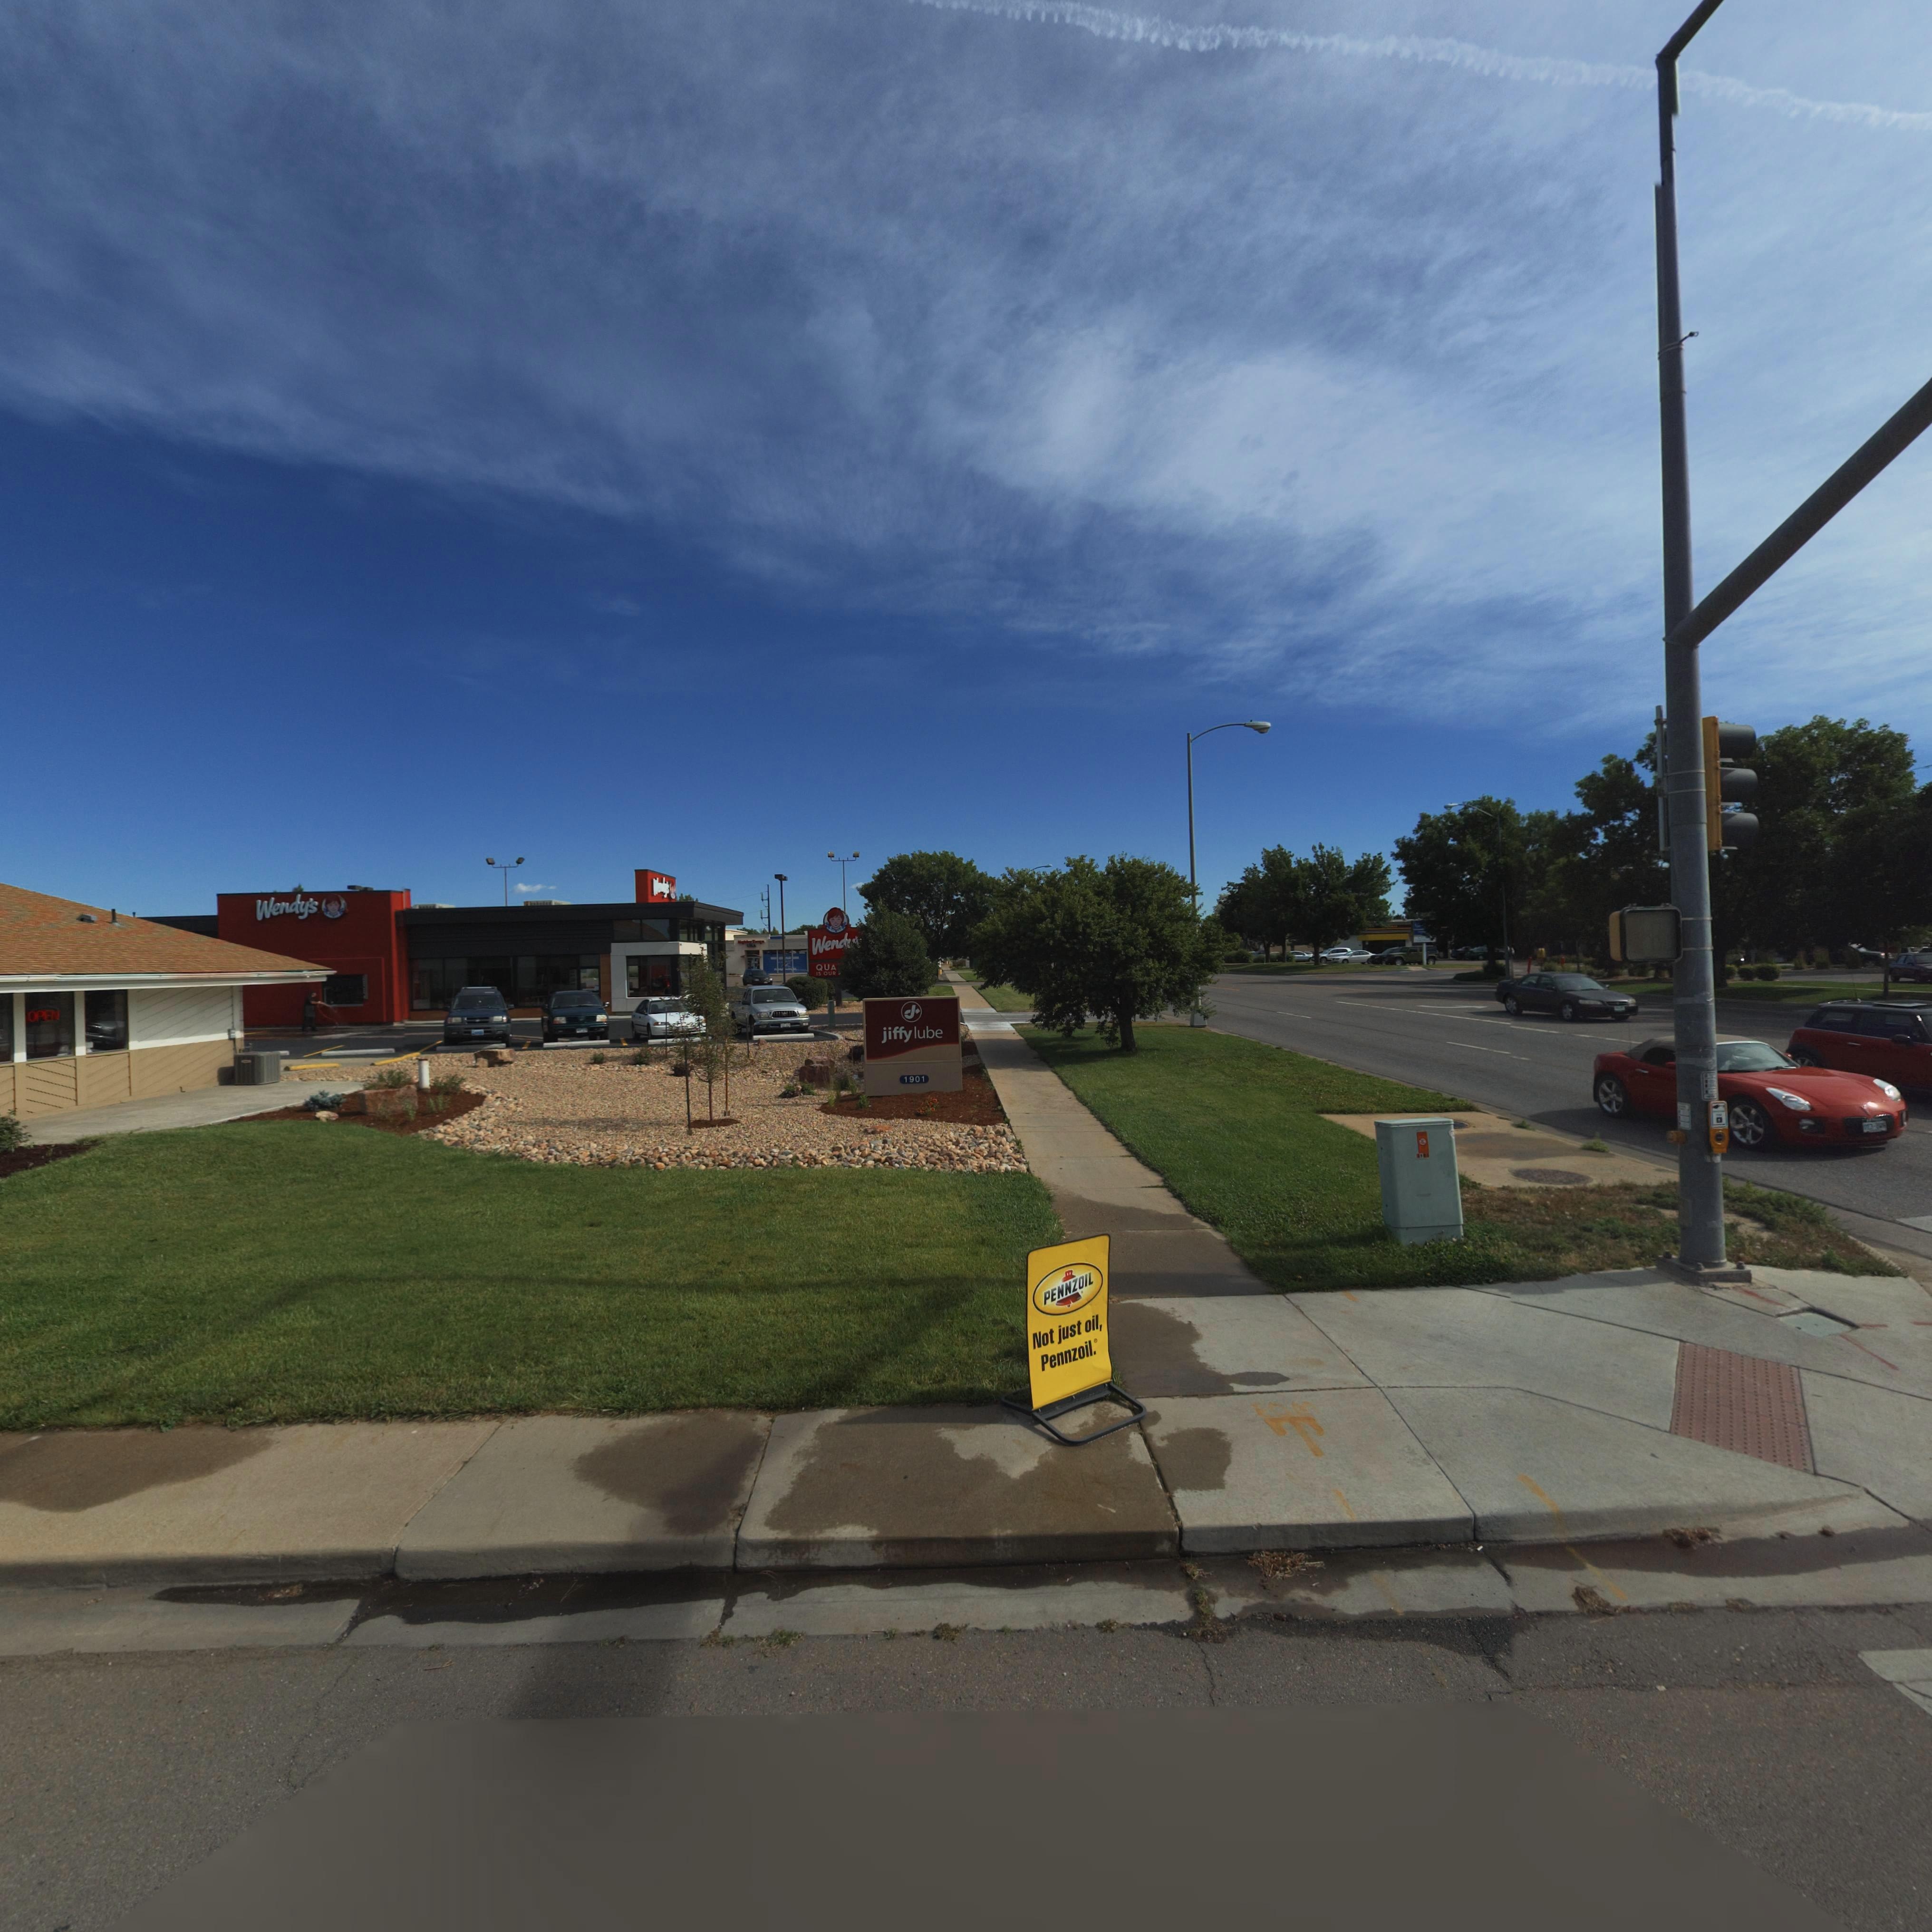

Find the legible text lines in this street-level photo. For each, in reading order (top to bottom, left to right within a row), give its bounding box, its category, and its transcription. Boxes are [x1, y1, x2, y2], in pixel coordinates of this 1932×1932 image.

[652, 876, 670, 899] BusinessName: W*****s
[255, 893, 319, 921] BusinessName: Wendy's
[811, 931, 863, 956] BusinessName: Wend**
[880, 1025, 945, 1043] BusinessName: jiffylube
[904, 1075, 926, 1083] StreetNumber: 1901